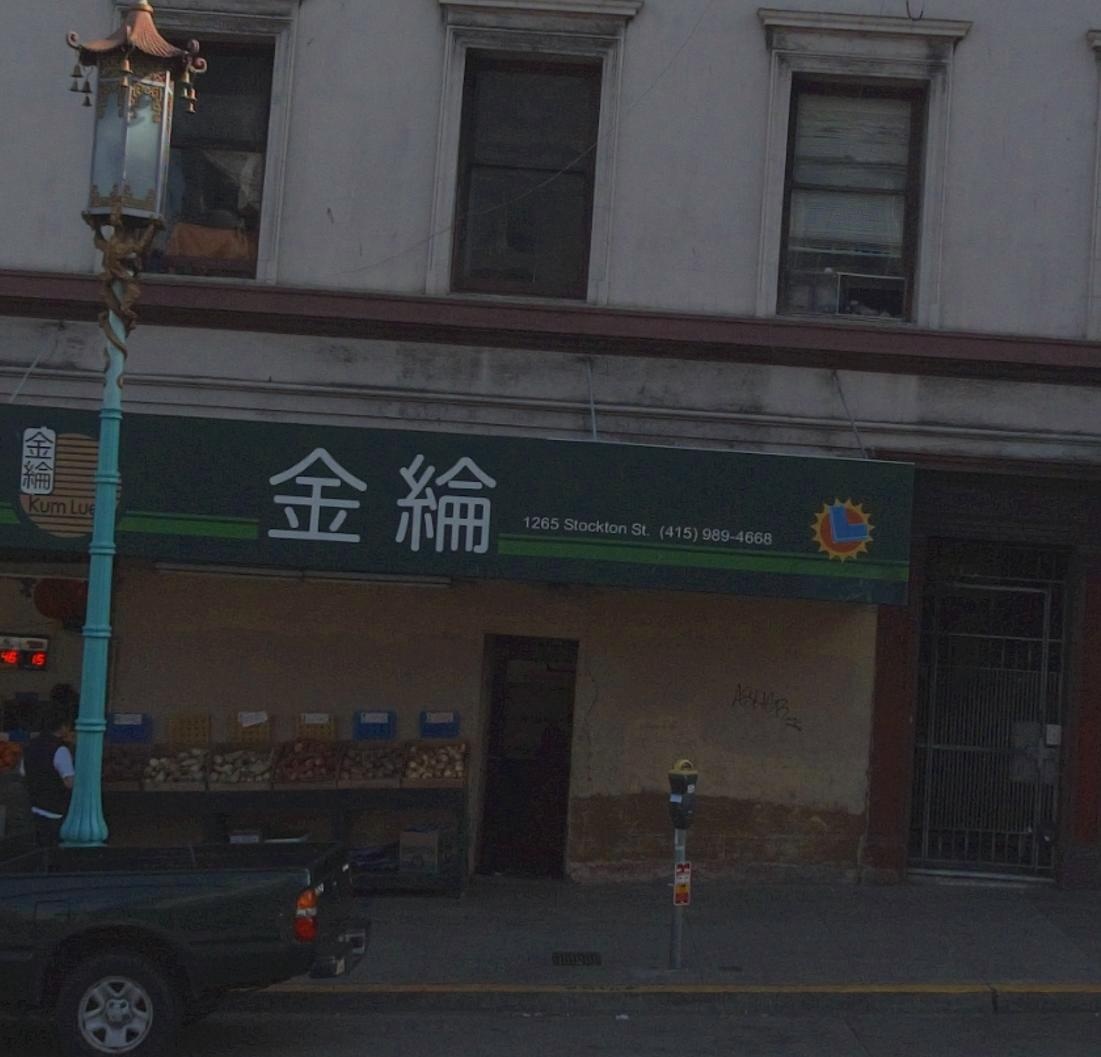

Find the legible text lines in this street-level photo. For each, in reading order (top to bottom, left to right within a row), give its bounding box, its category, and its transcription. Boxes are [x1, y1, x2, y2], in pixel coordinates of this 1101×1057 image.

[27, 494, 89, 517] BusinessName: kum Lu
[523, 514, 560, 531] StreetNumber: 1265
[563, 516, 649, 538] StreetName: Stockton St.
[659, 522, 773, 546] None: (415) 989-4668
[1, 649, 18, 666] None: 46
[30, 651, 47, 667] None: 15